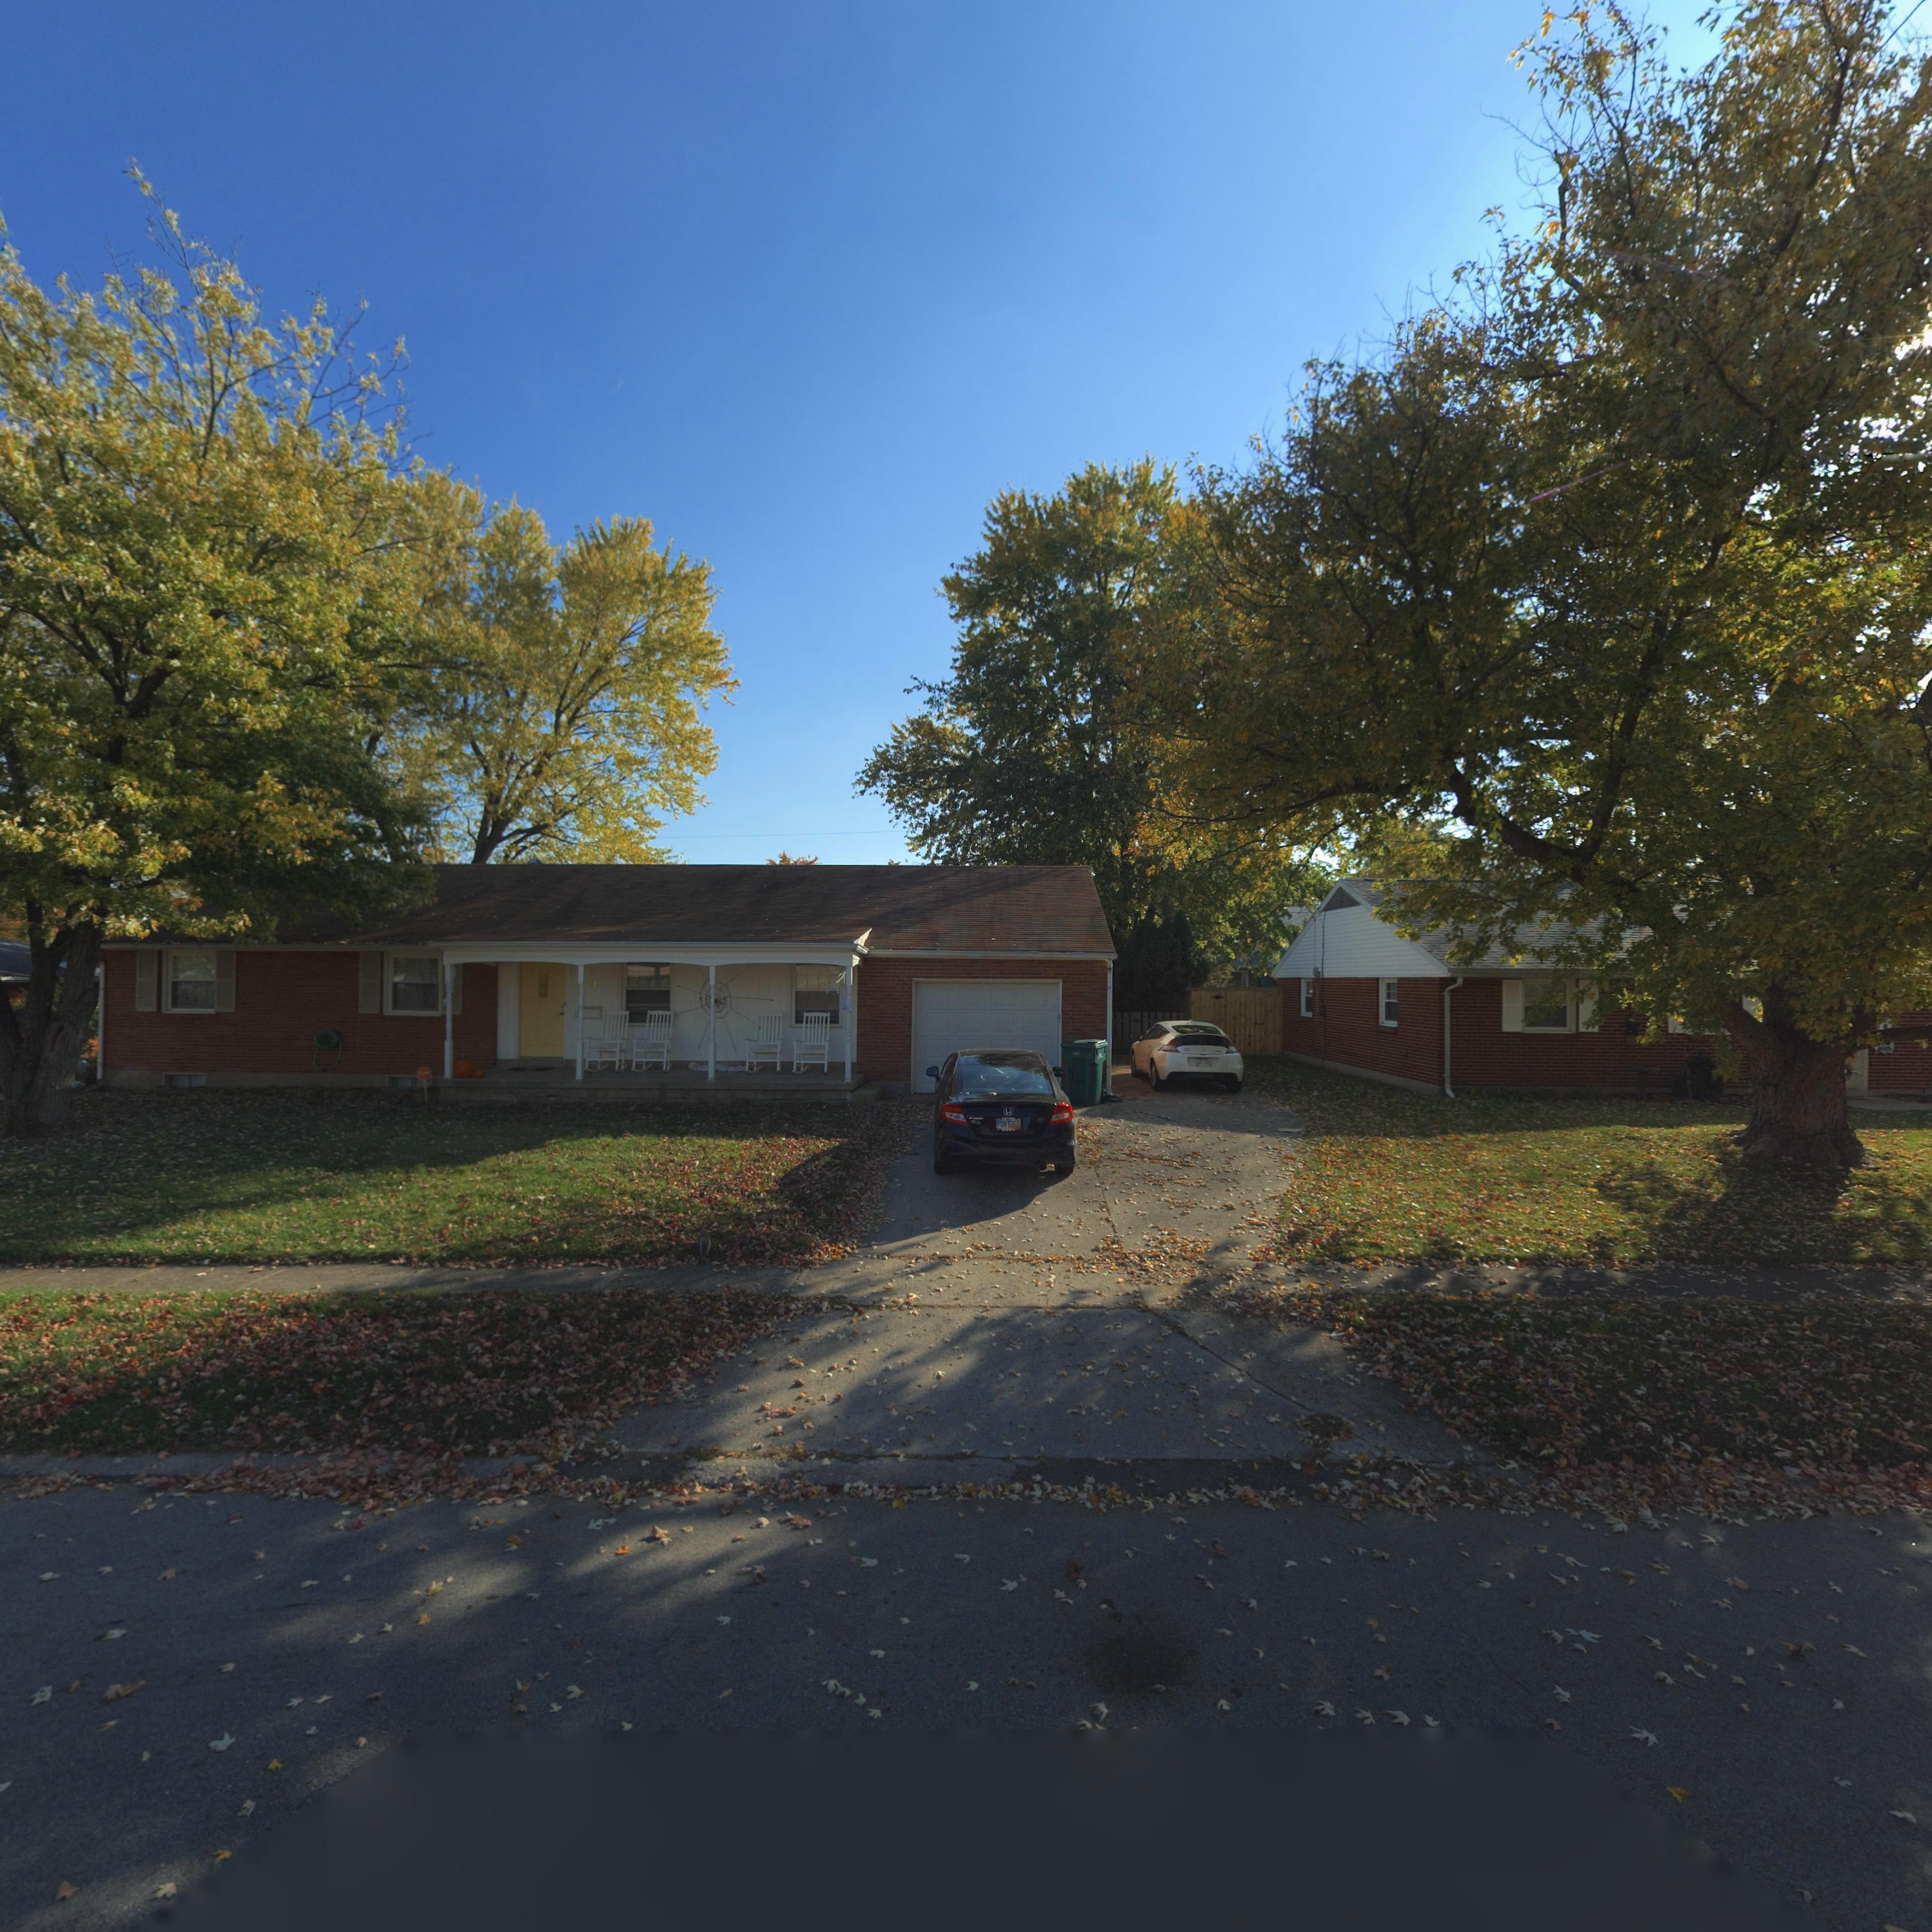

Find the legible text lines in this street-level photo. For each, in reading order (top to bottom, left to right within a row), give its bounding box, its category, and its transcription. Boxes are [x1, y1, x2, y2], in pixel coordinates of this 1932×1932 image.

[583, 980, 597, 987] StreetNumber: 6*8